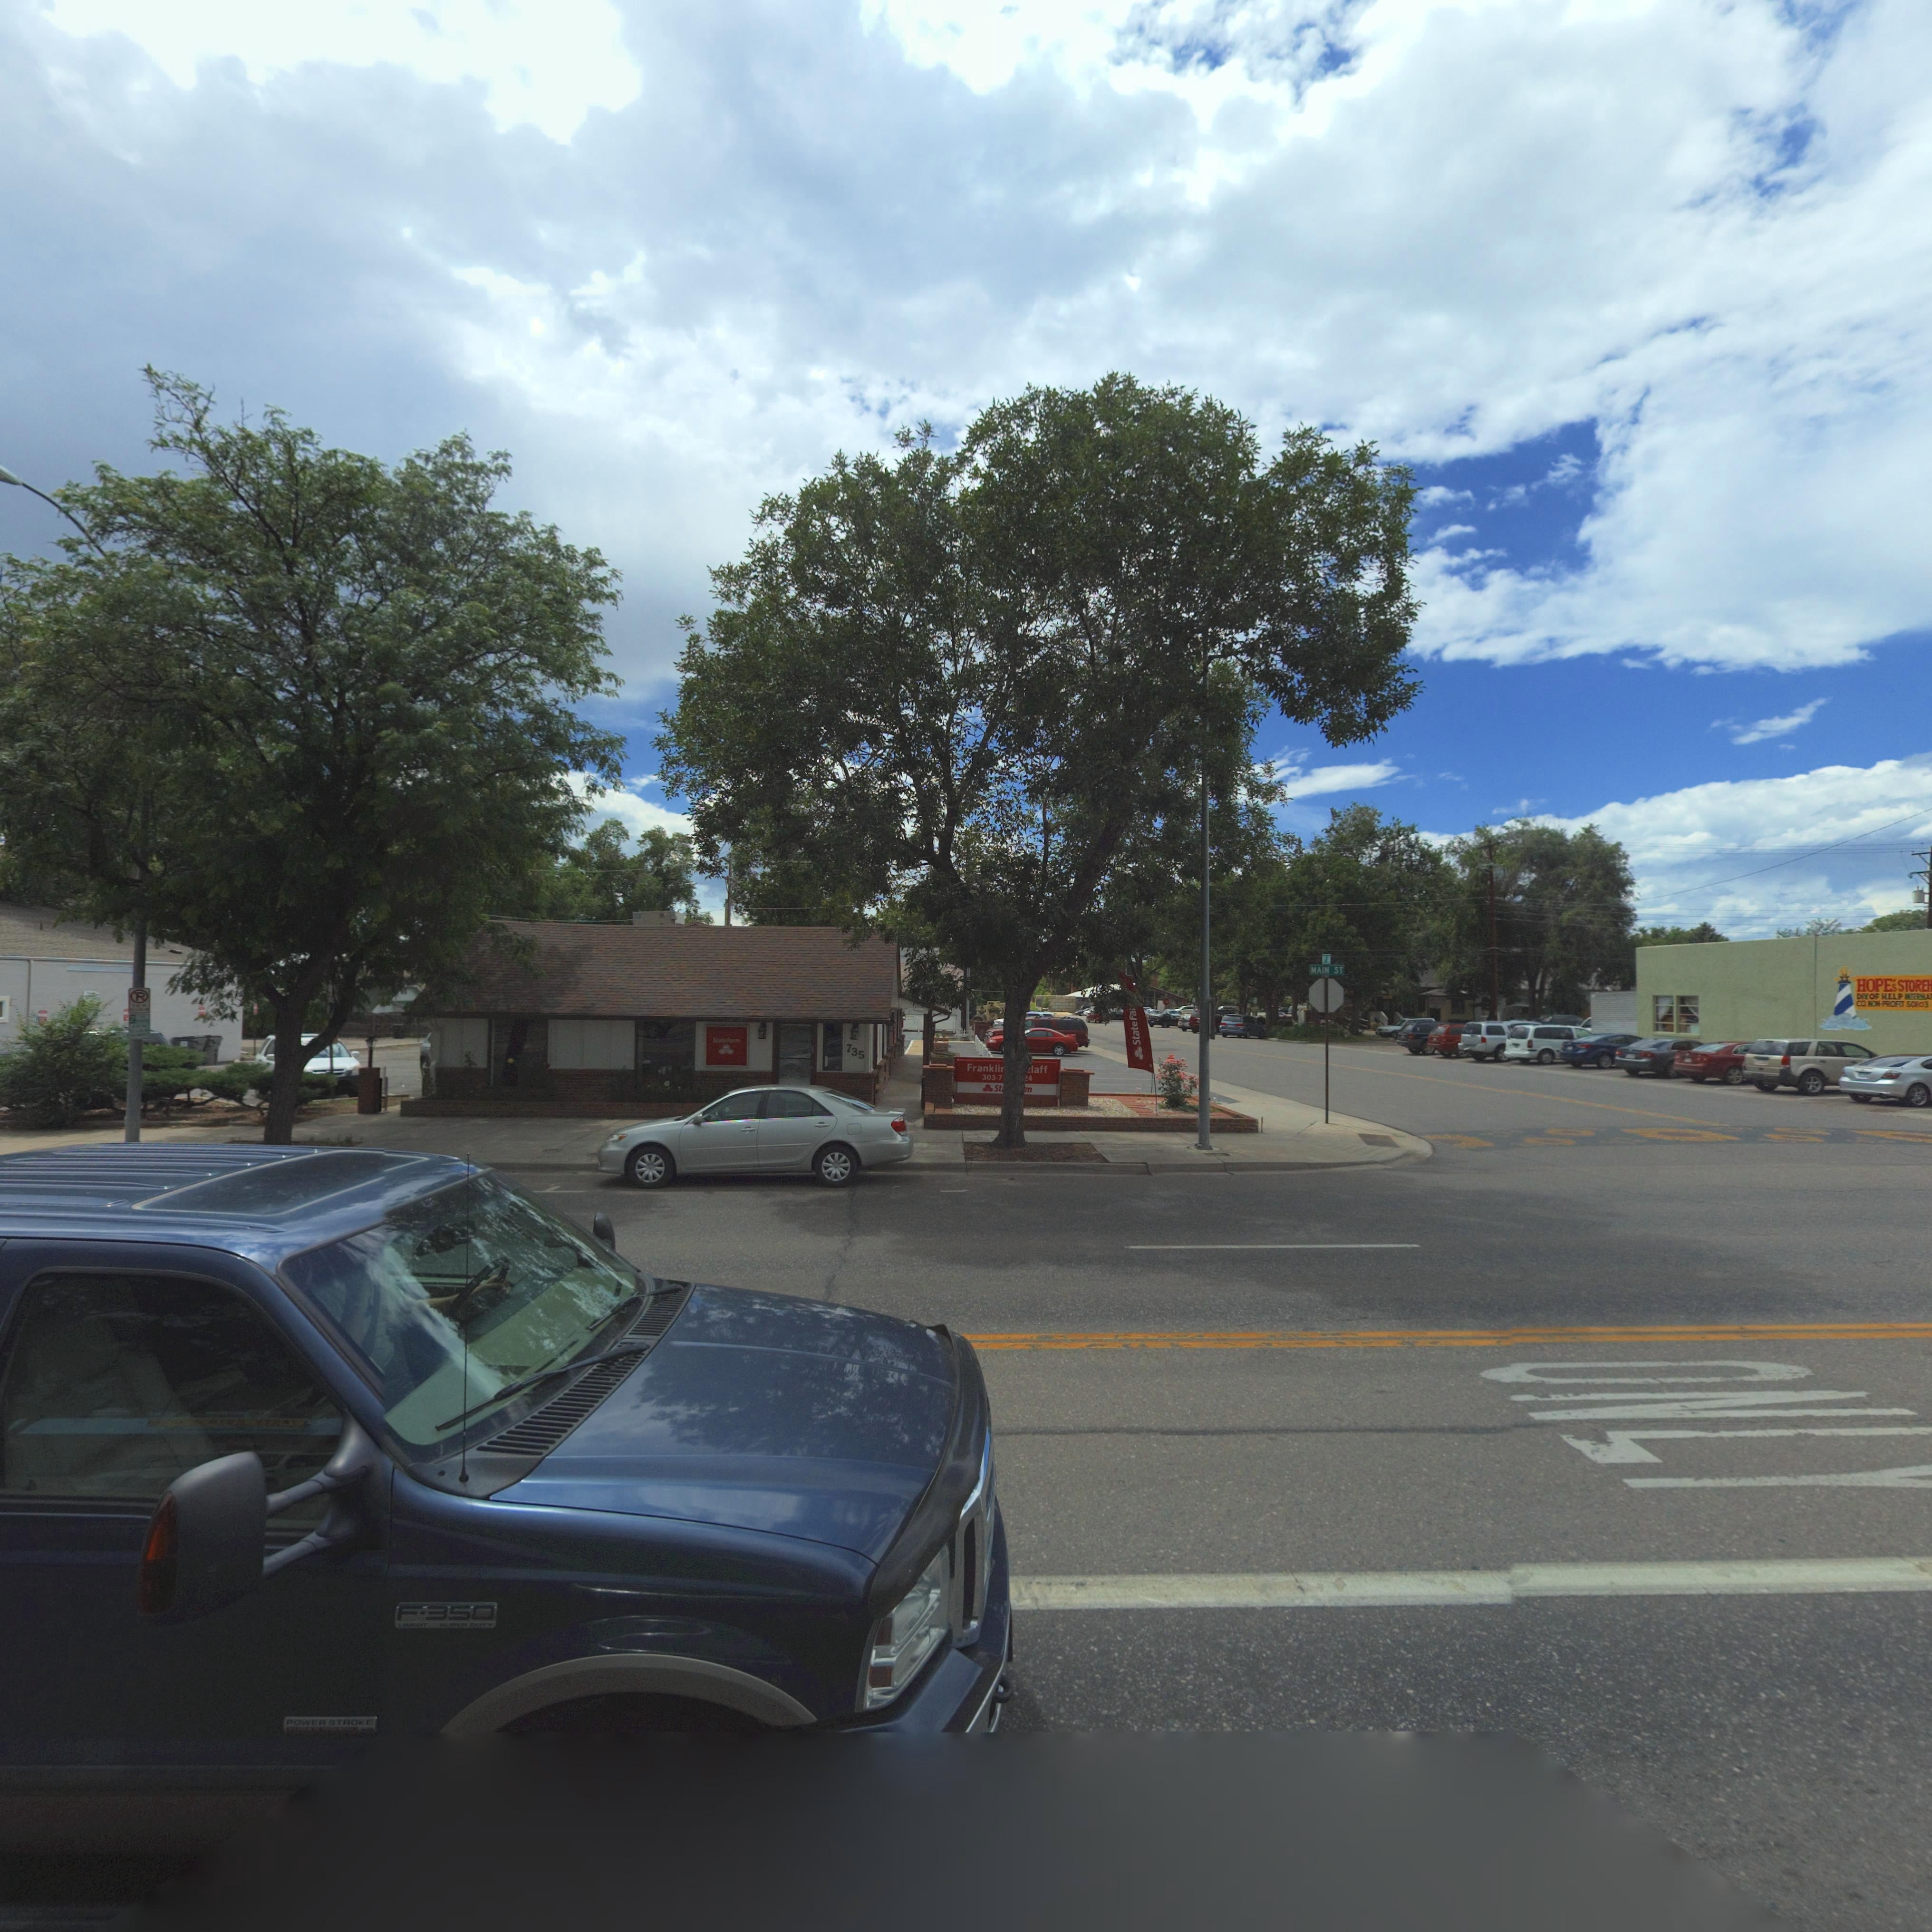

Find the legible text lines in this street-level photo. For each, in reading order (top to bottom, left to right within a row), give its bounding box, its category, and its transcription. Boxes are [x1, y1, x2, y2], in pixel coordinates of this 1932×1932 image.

[1311, 966, 1343, 973] StreetName: *MAIN ST
[1856, 978, 1928, 992] BusinessName: HOPE's STORE
[1129, 1010, 1140, 1045] BusinessName: StateFa
[712, 1037, 740, 1043] BusinessName: StateFarm
[846, 1043, 864, 1059] StreetNumber: 735
[994, 1084, 1033, 1092] BusinessName: St******m